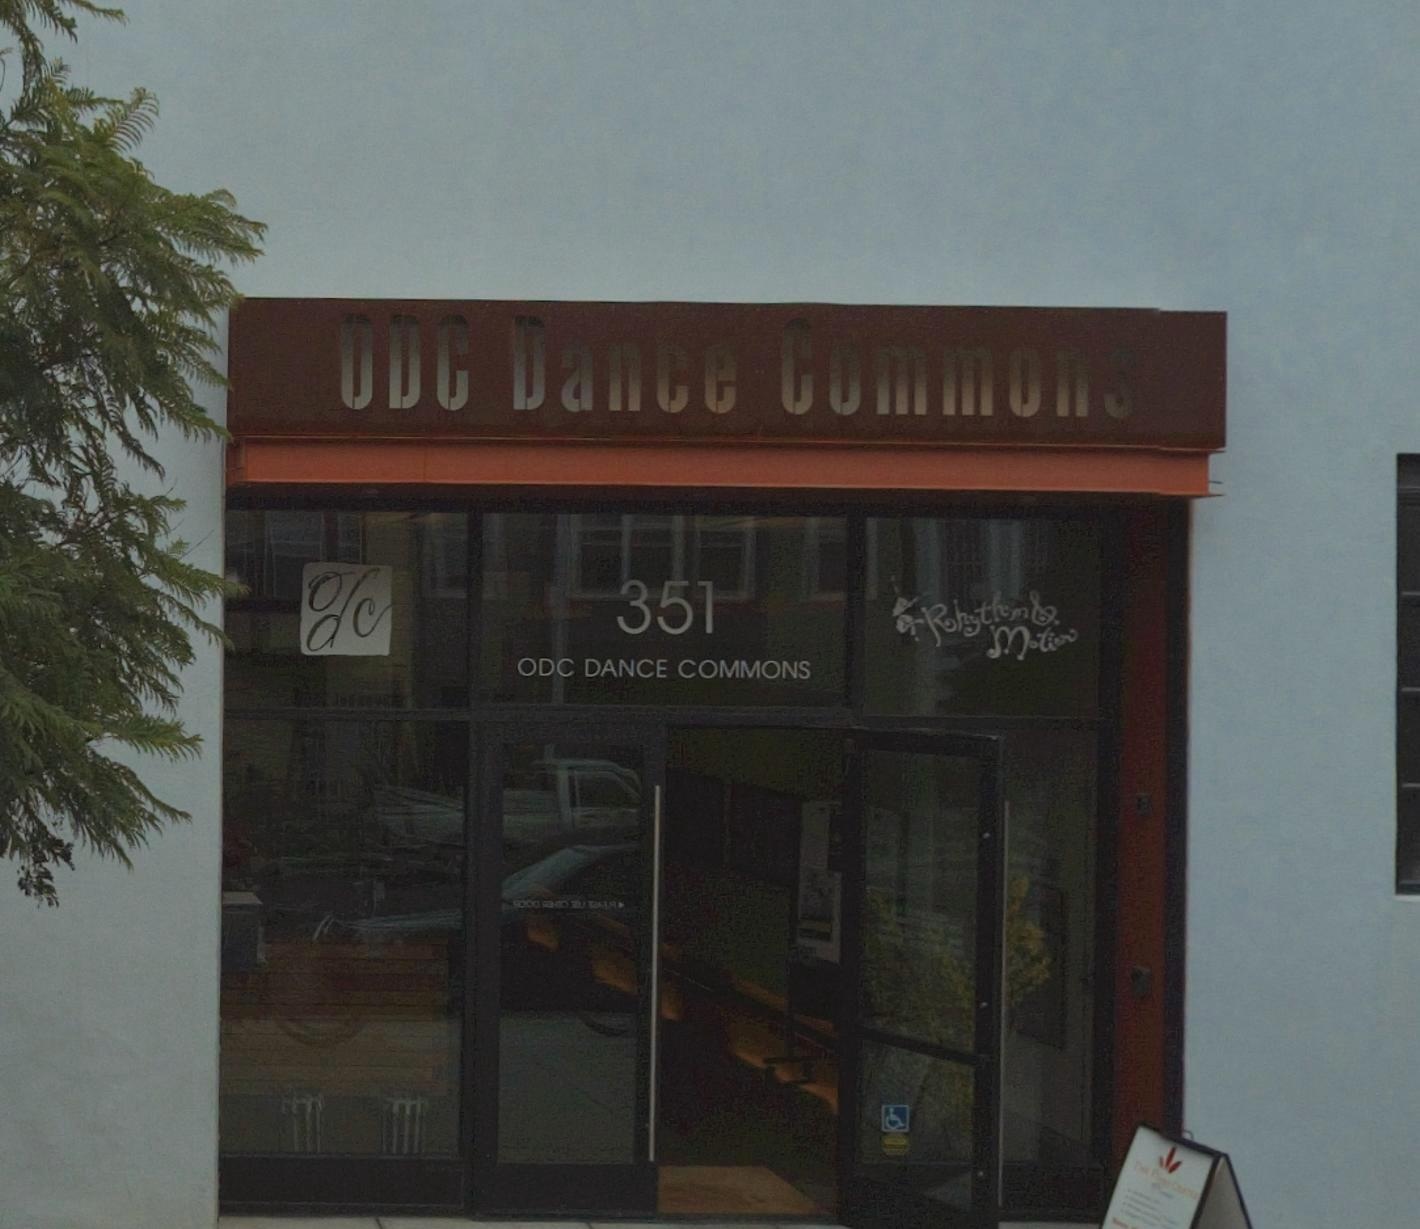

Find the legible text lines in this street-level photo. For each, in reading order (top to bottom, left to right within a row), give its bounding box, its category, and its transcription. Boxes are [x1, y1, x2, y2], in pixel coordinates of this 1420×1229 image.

[336, 309, 1142, 423] BusinessName: ODC Dance Commons
[515, 656, 811, 680] BusinessName: ODC DANCE COMMONS
[614, 578, 717, 637] StreetNumber: 351
[919, 589, 1031, 649] None: Rhythm
[984, 624, 1077, 663] None: Motion